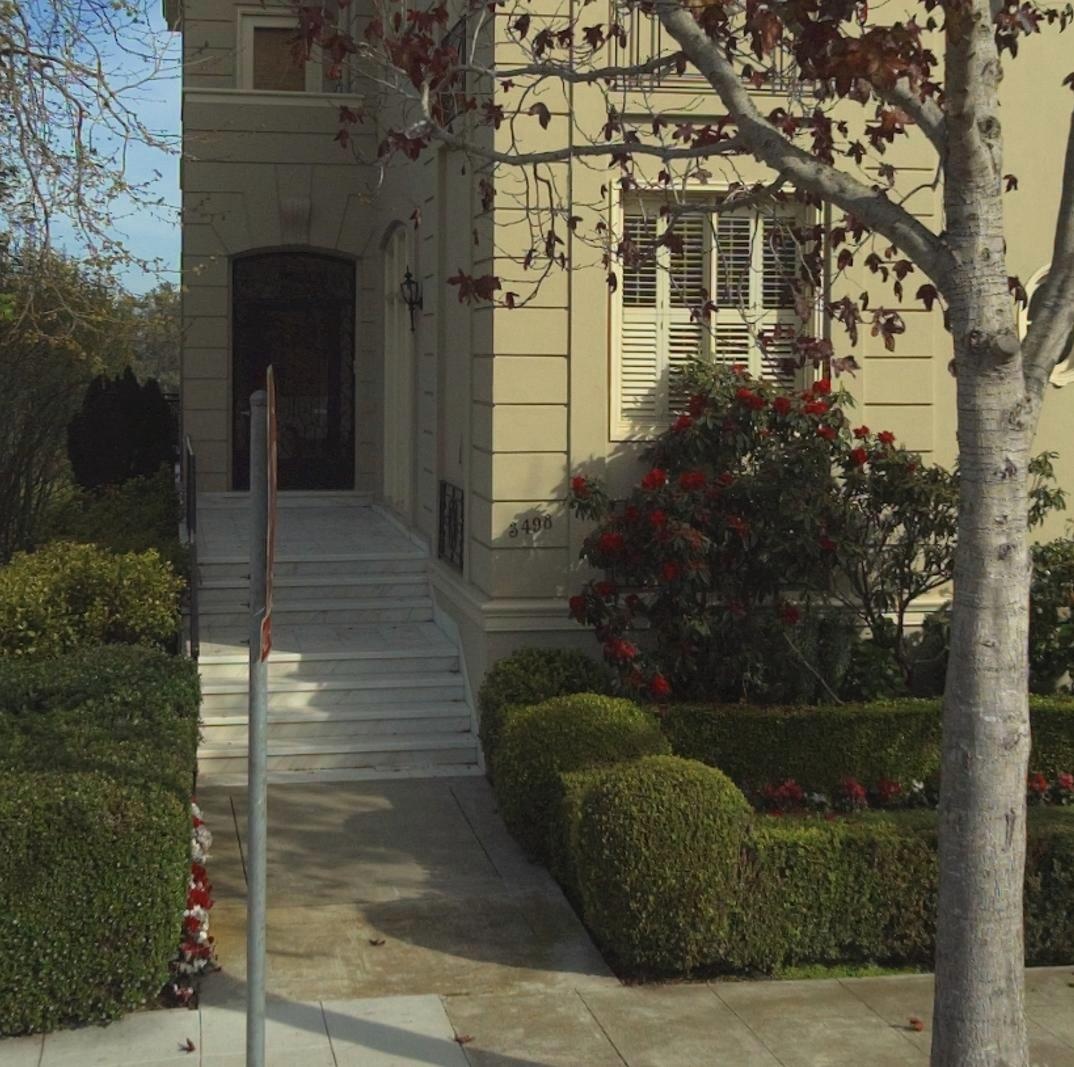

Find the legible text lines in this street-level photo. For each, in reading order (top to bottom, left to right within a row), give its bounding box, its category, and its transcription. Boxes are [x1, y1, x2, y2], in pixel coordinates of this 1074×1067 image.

[507, 509, 554, 542] StreetNumber: 3498